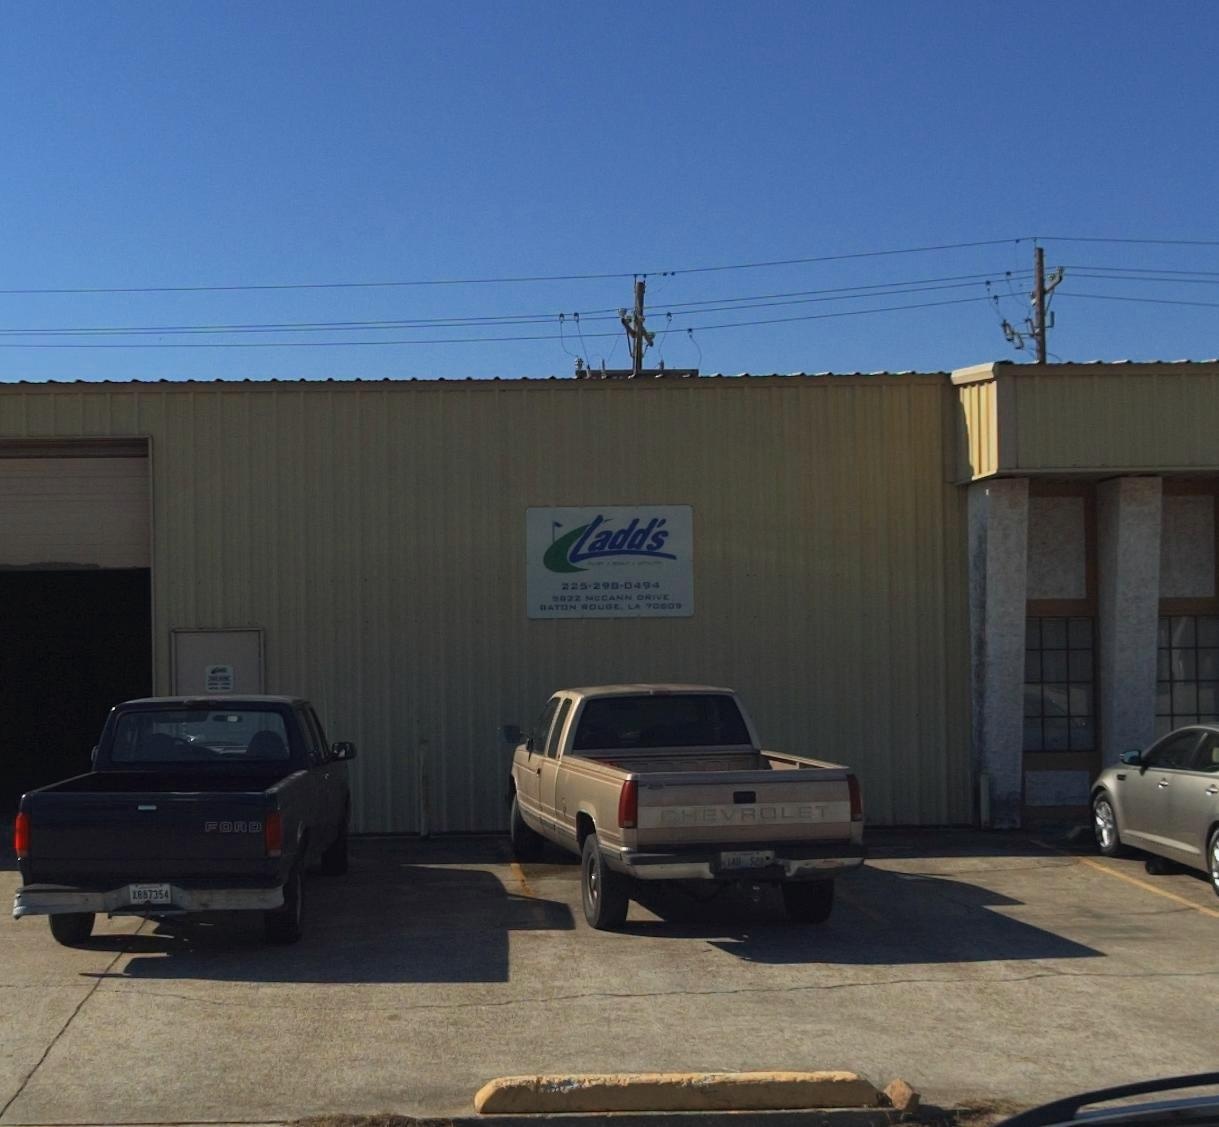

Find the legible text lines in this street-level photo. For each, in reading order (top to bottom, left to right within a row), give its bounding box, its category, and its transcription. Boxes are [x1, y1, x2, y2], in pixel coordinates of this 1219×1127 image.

[560, 512, 672, 565] BusinessName: Ladd's
[559, 579, 662, 592] None: 225*29*-0494
[549, 592, 583, 605] StreetNumber: 5*22
[584, 591, 672, 604] StreetName: McCANN DRIVE
[537, 600, 685, 613] None: BATON ROUGE, LA 70*09
[658, 803, 832, 825] None: CHEVROLET
[203, 819, 264, 834] None: FORD
[136, 886, 171, 902] None: 087354